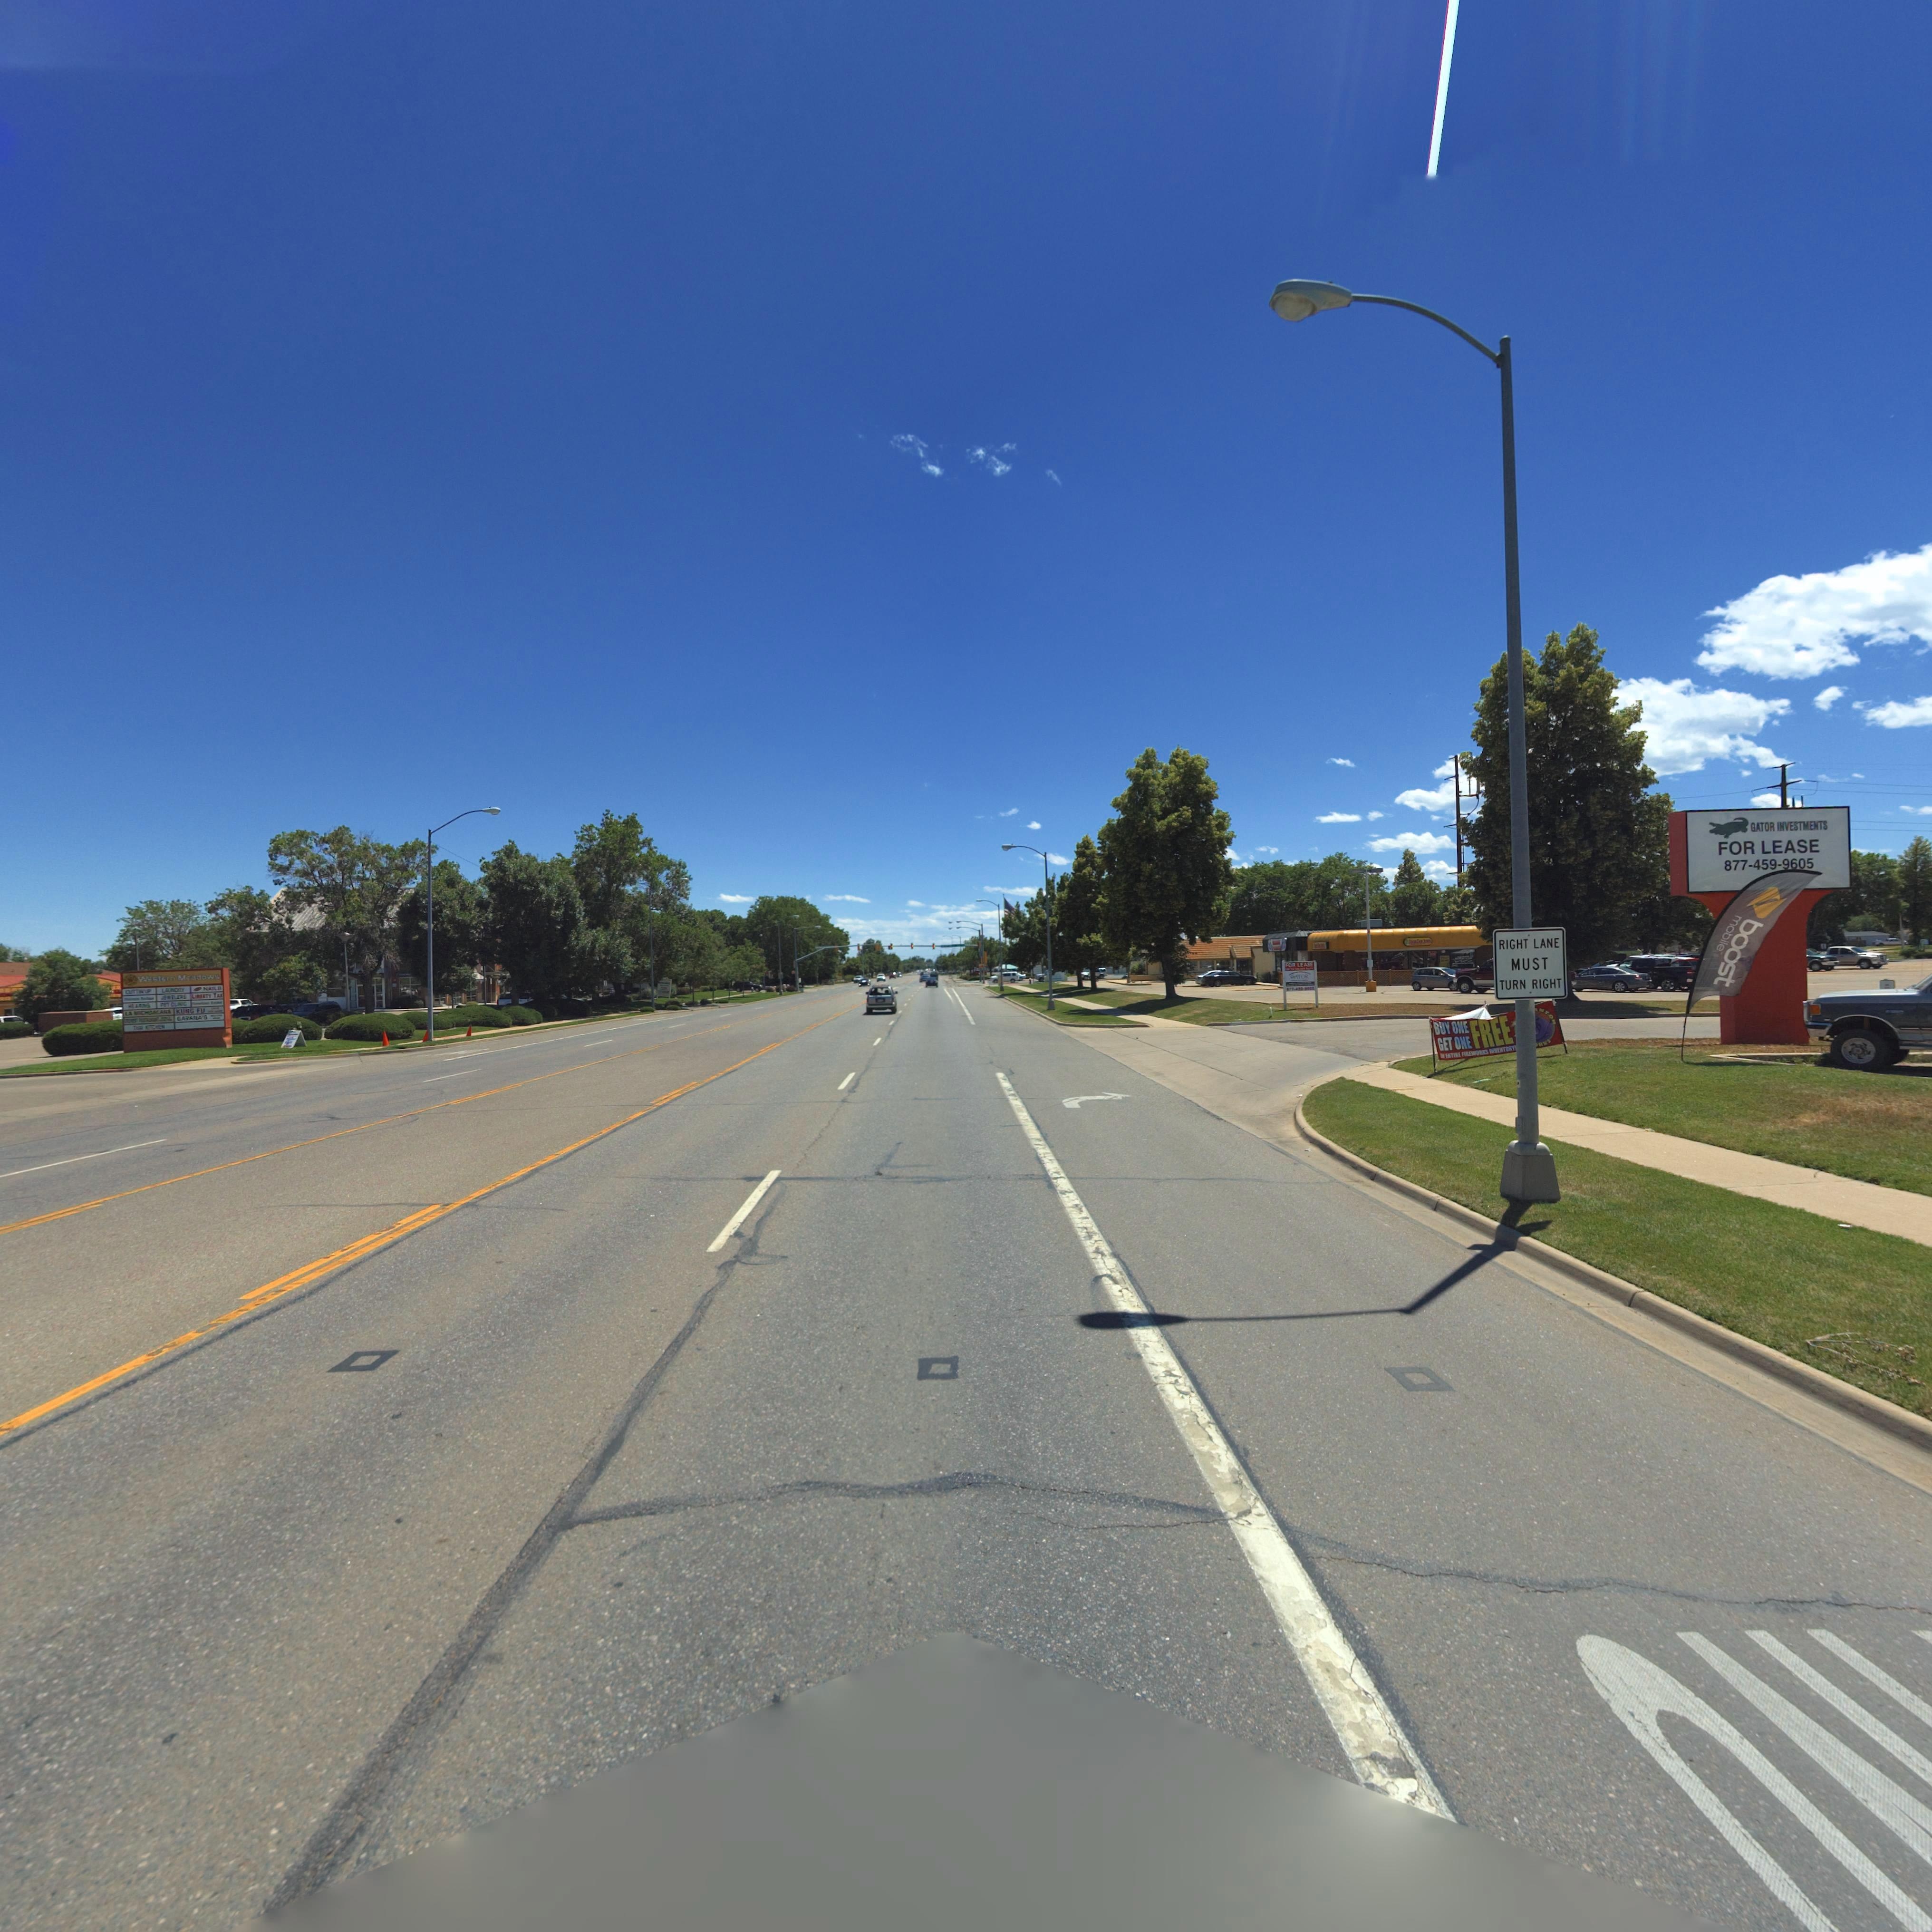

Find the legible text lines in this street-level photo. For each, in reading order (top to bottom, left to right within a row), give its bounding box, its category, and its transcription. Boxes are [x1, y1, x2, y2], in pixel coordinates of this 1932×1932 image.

[1408, 938, 1431, 945] BusinessName: ****O* J***
[125, 988, 151, 995] BusinessName: CUTTIN' UP
[203, 985, 222, 991] BusinessName: NAILS
[160, 994, 187, 1000] BusinessName: ***TLERS
[192, 992, 223, 999] BusinessName: LIBERTY TAX
[124, 1009, 172, 1016] BusinessName: LA MICHOACANA
[176, 1014, 207, 1021] BusinessName: GAVANA'S
[132, 1024, 165, 1030] BusinessName: TH*I KITCHEN